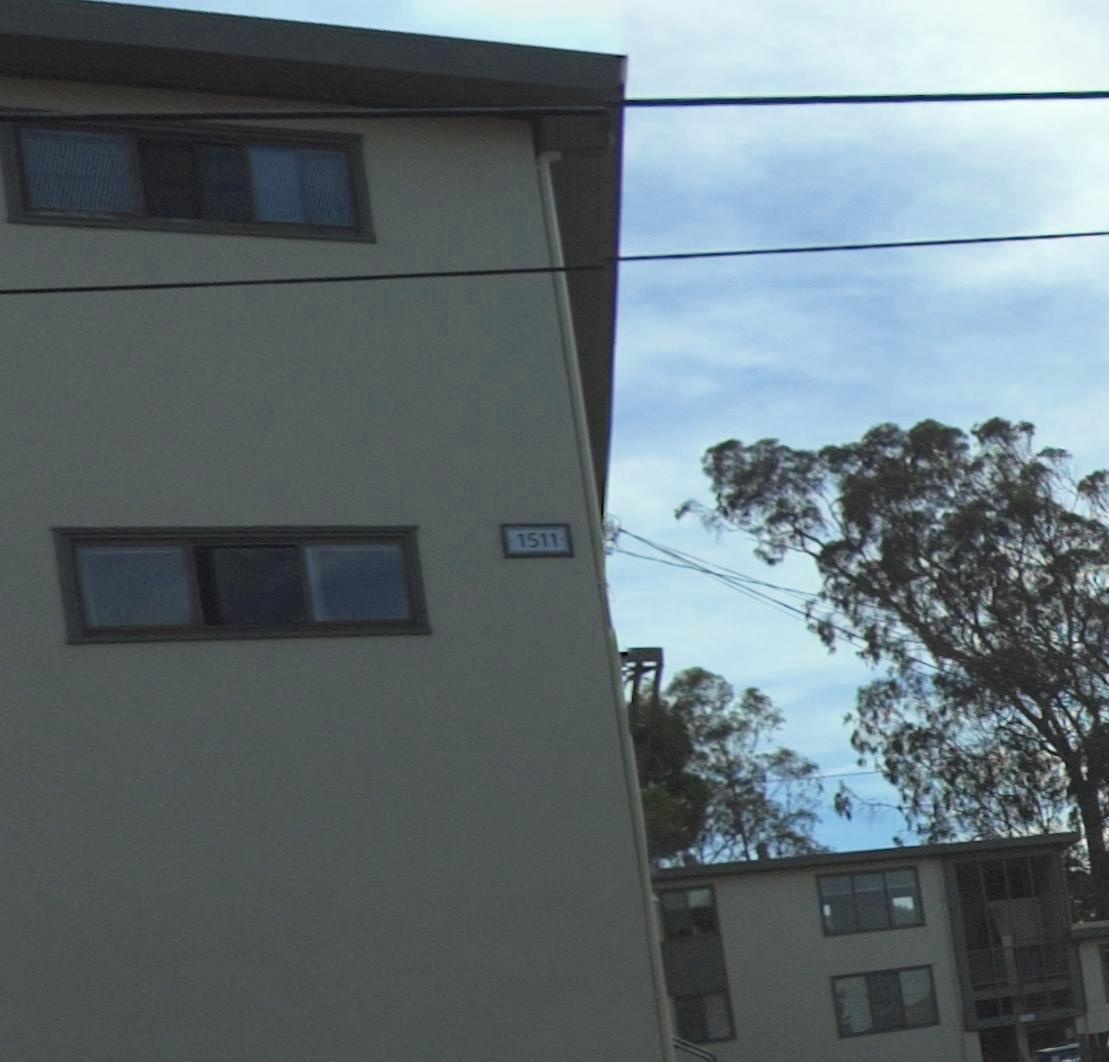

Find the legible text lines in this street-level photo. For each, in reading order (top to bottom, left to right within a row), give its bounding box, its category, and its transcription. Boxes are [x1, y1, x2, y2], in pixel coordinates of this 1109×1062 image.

[512, 529, 563, 552] StreetNumber: 1511